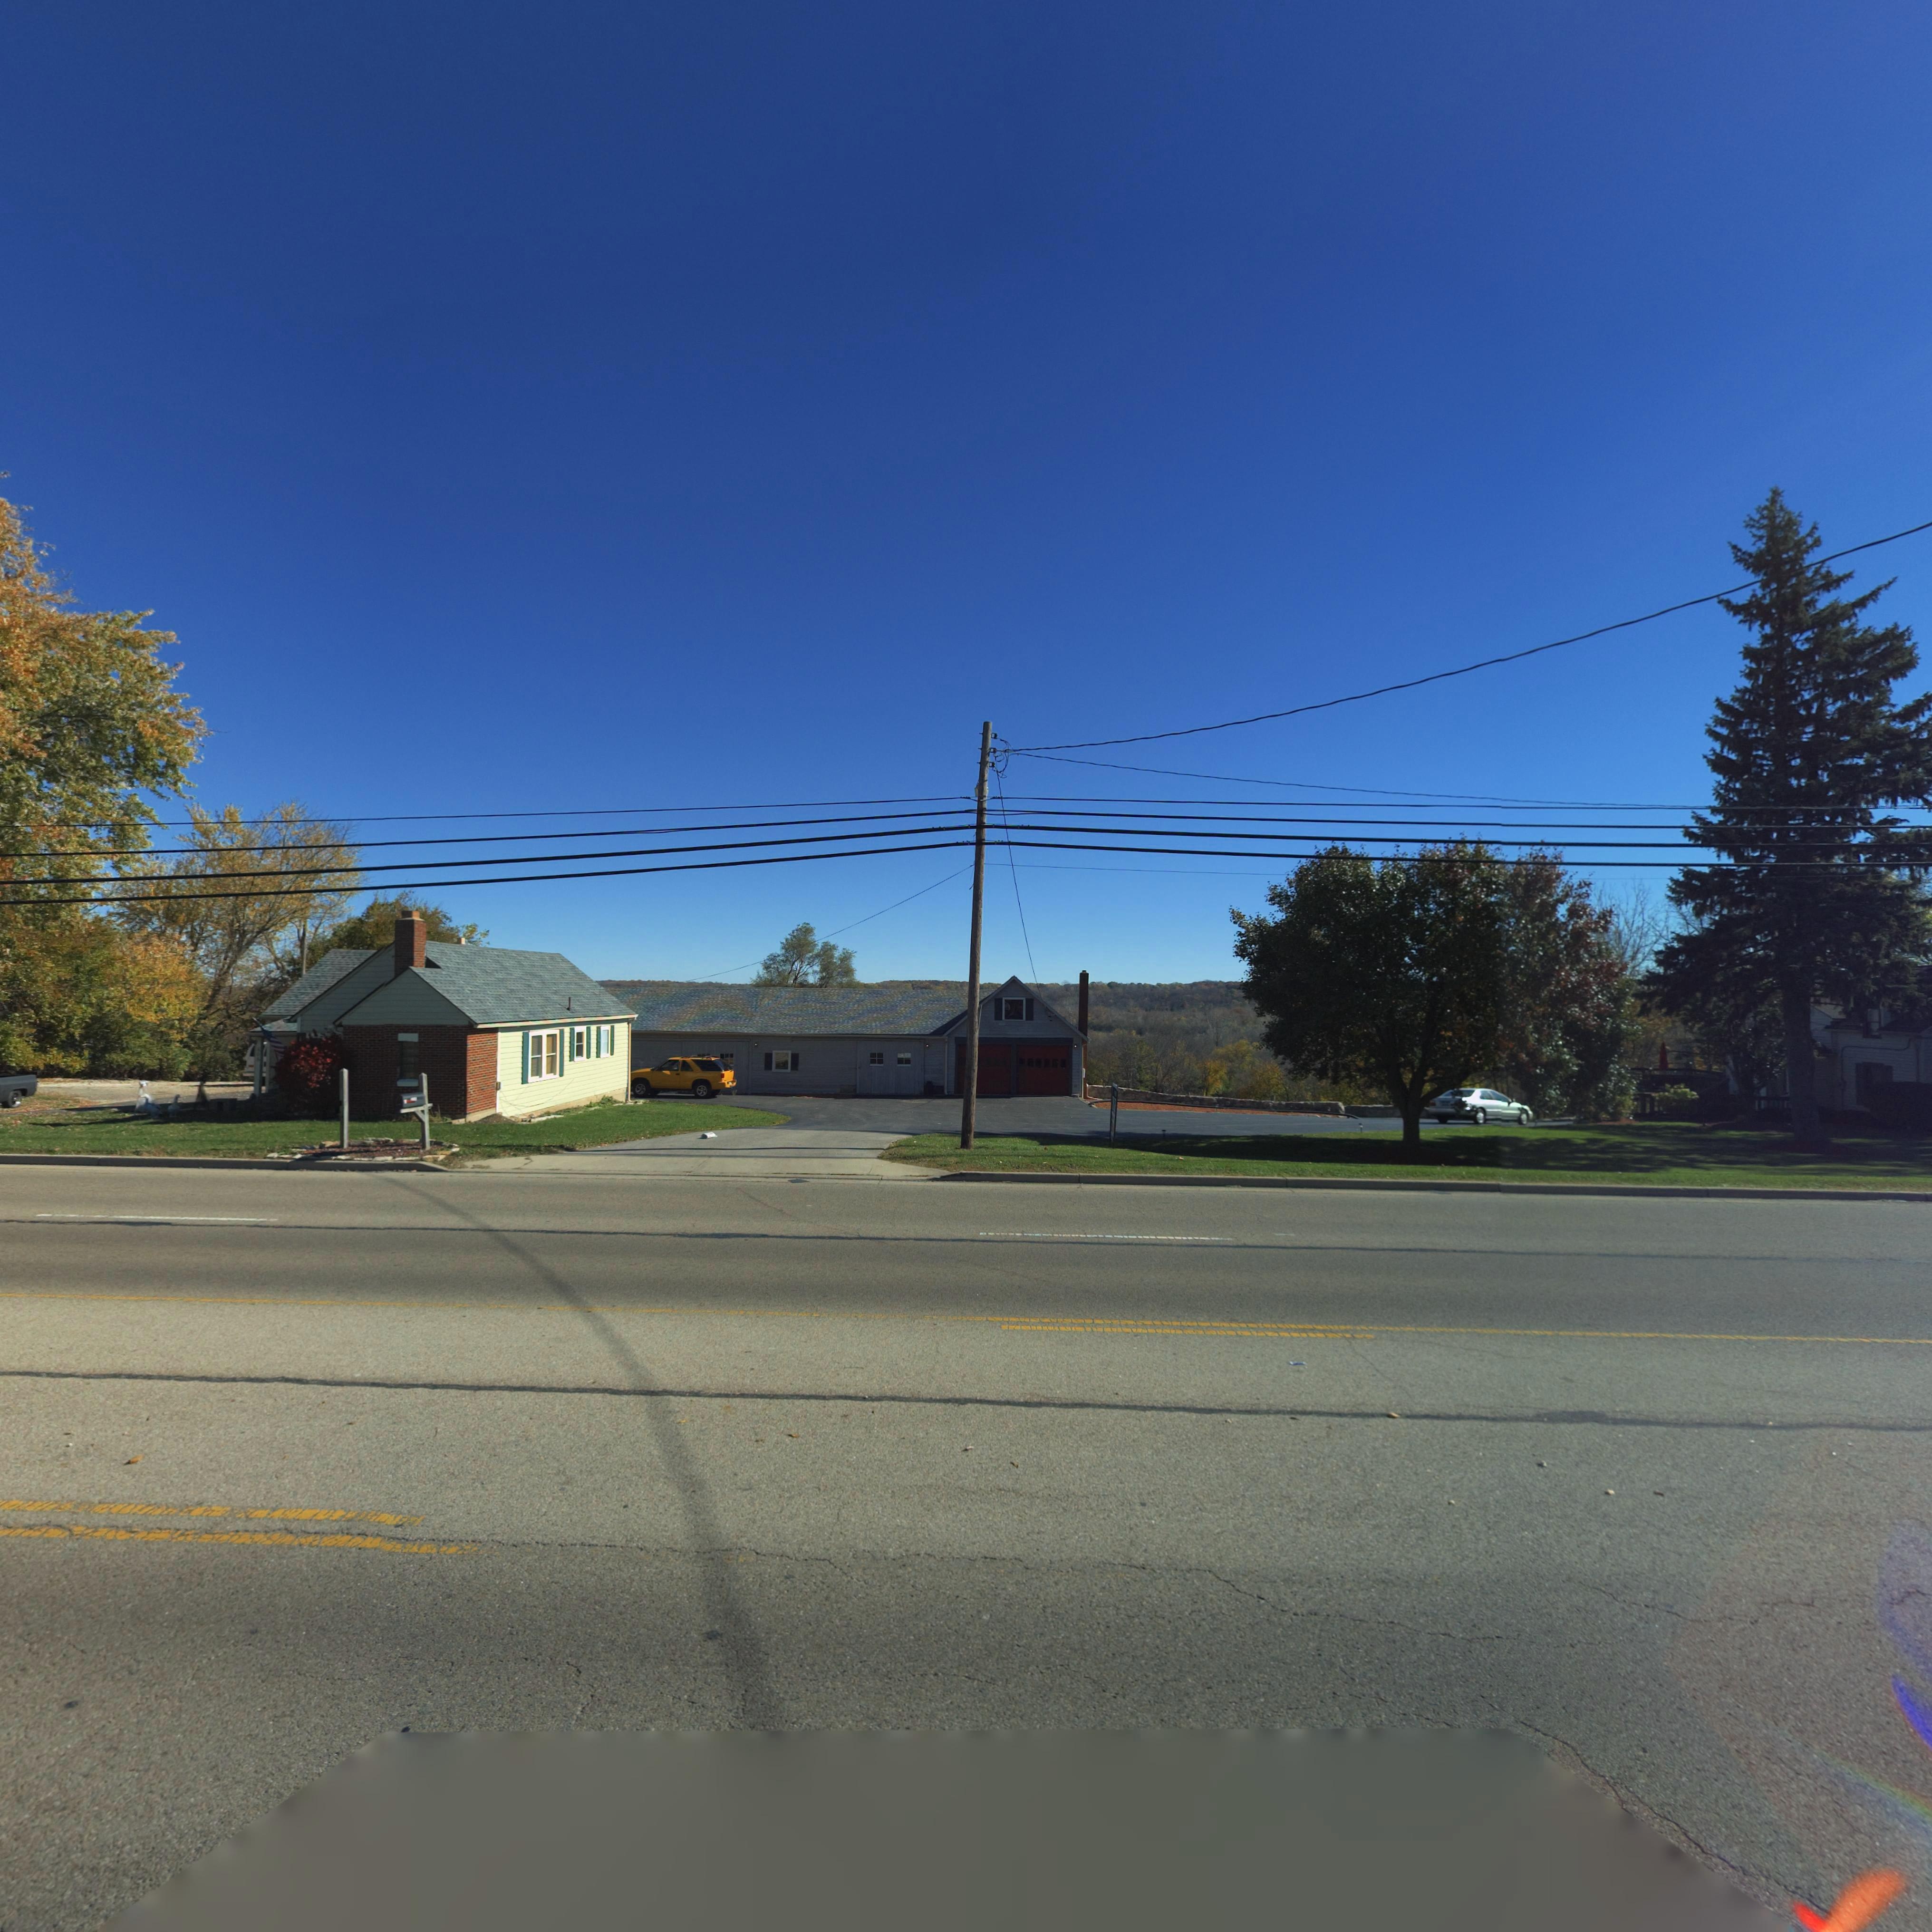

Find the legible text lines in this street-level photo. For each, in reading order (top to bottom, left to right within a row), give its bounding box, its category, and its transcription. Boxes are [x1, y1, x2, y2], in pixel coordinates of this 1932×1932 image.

[256, 1046, 261, 1062] StreetNumber: 606